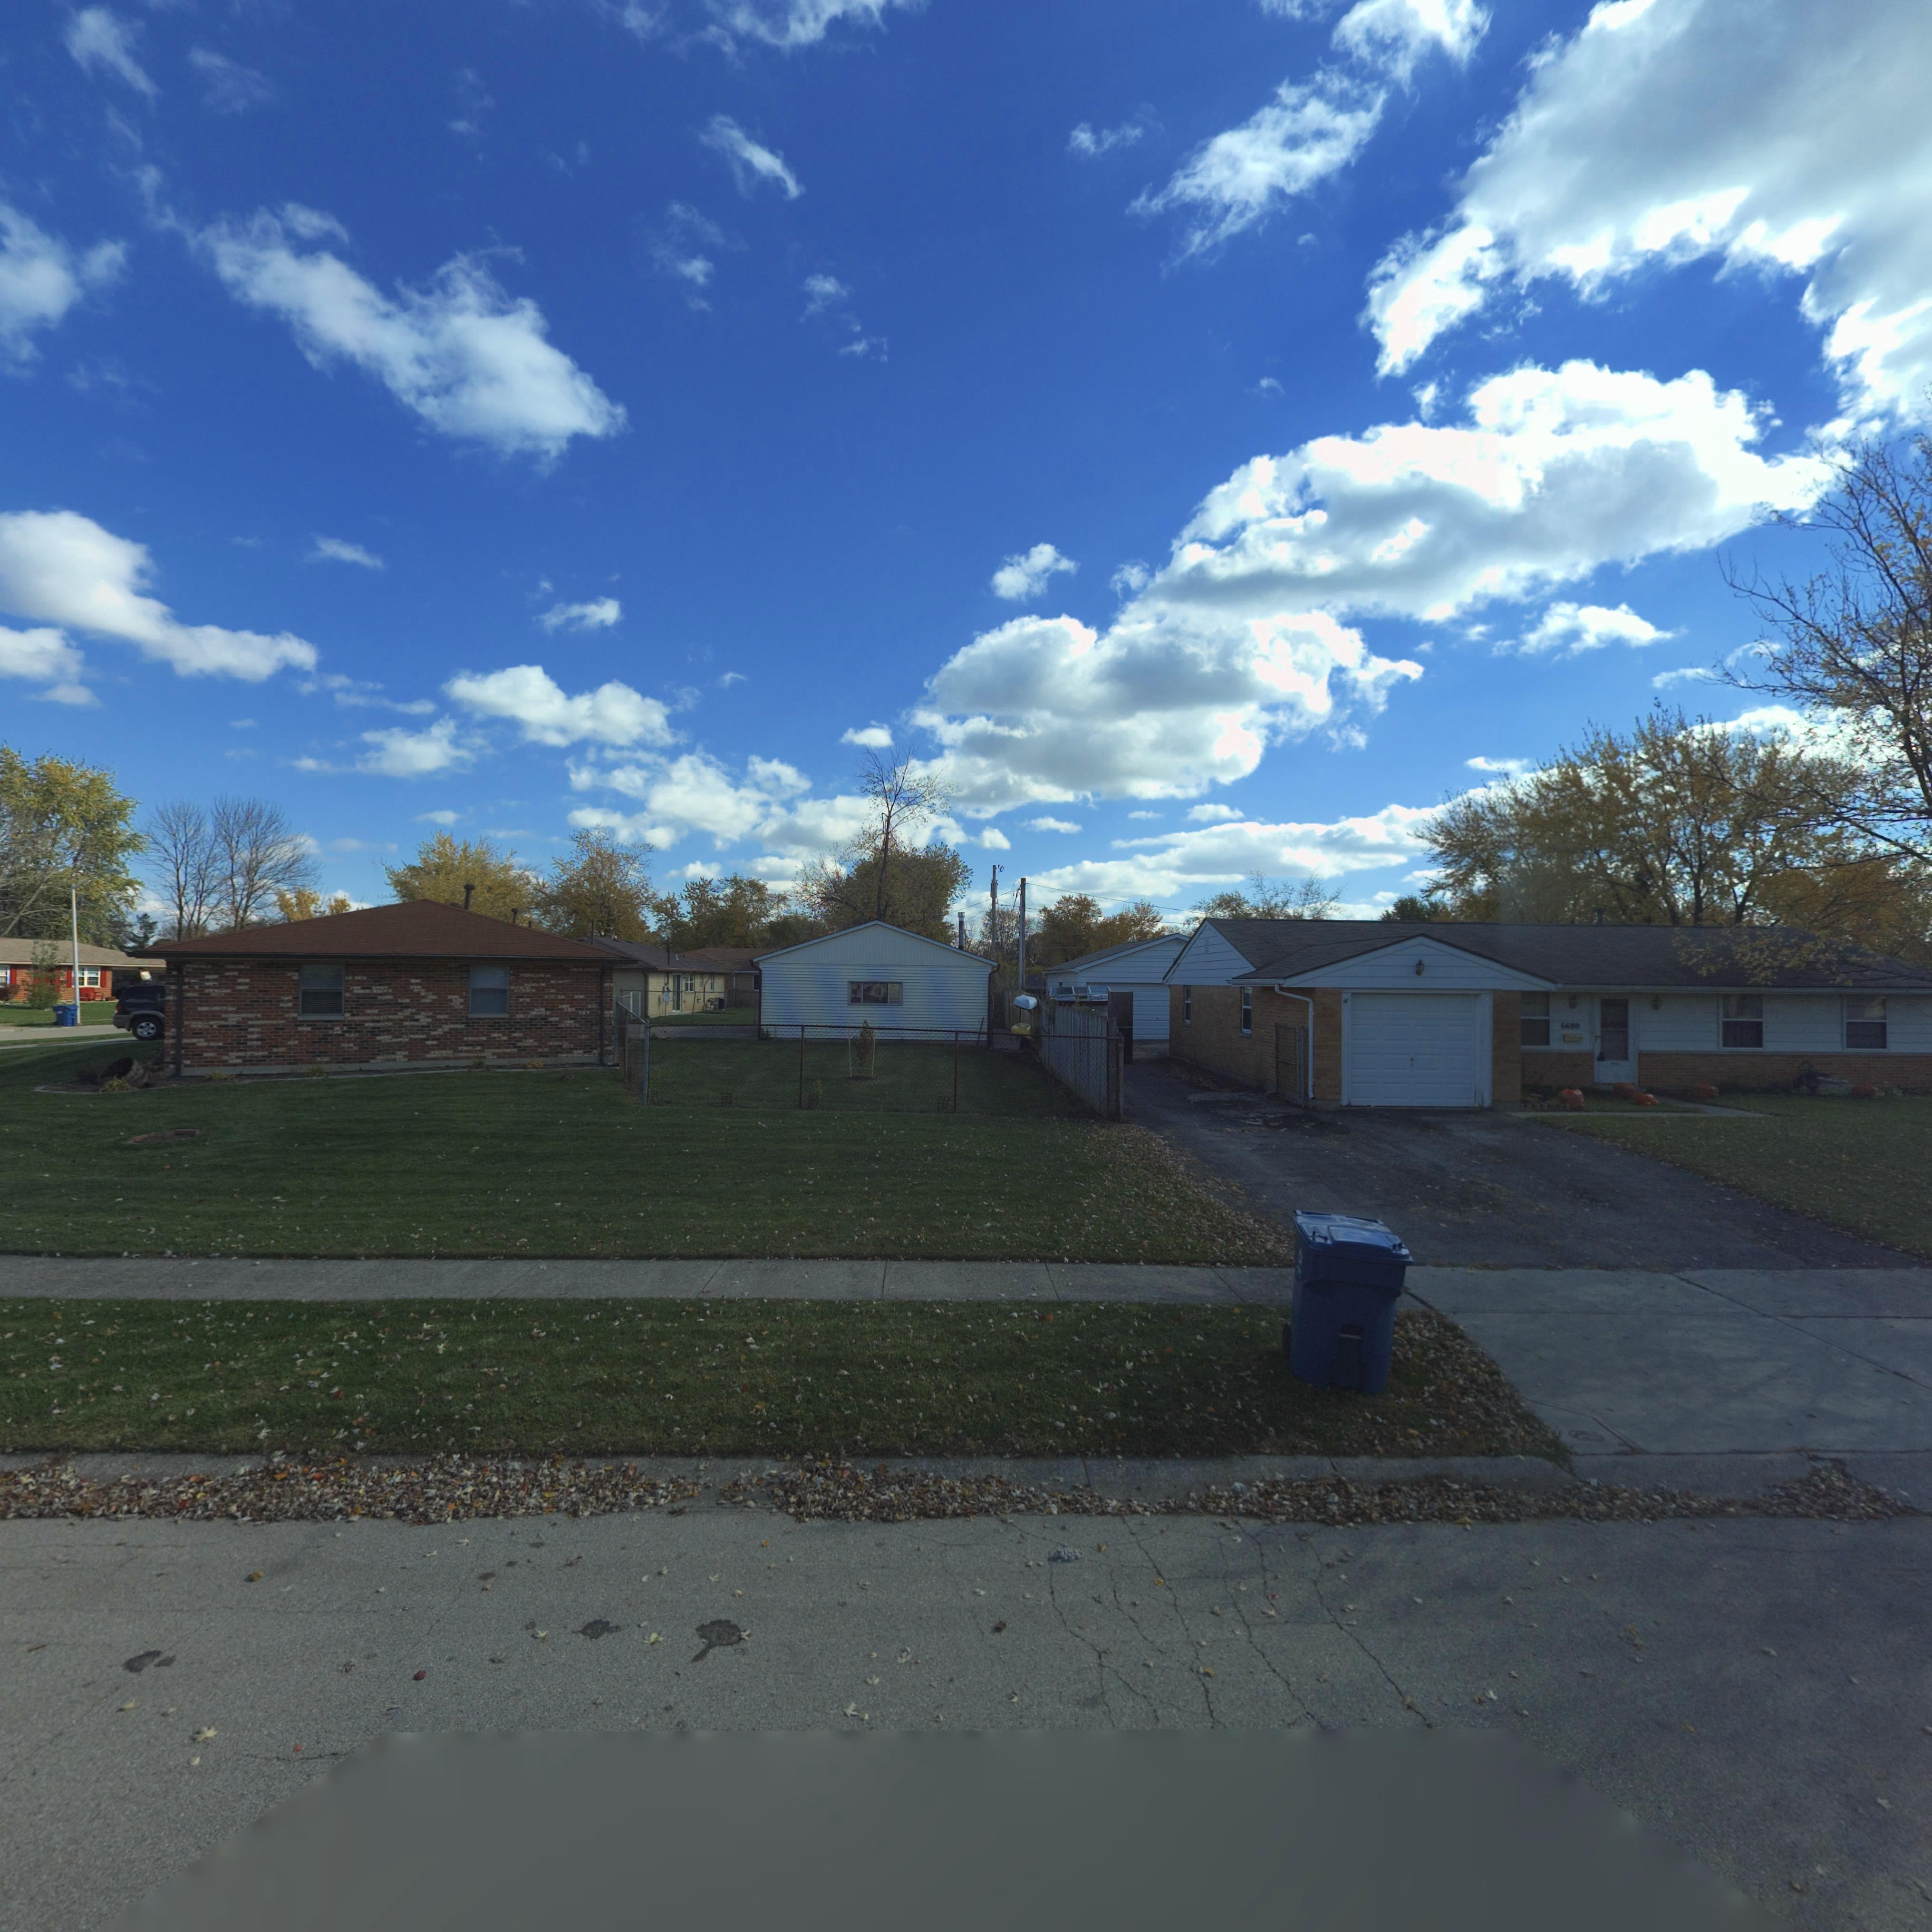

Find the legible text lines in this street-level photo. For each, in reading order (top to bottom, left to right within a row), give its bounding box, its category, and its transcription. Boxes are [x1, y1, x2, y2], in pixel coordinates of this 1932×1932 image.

[1560, 1022, 1580, 1029] StreetNumber: 6680